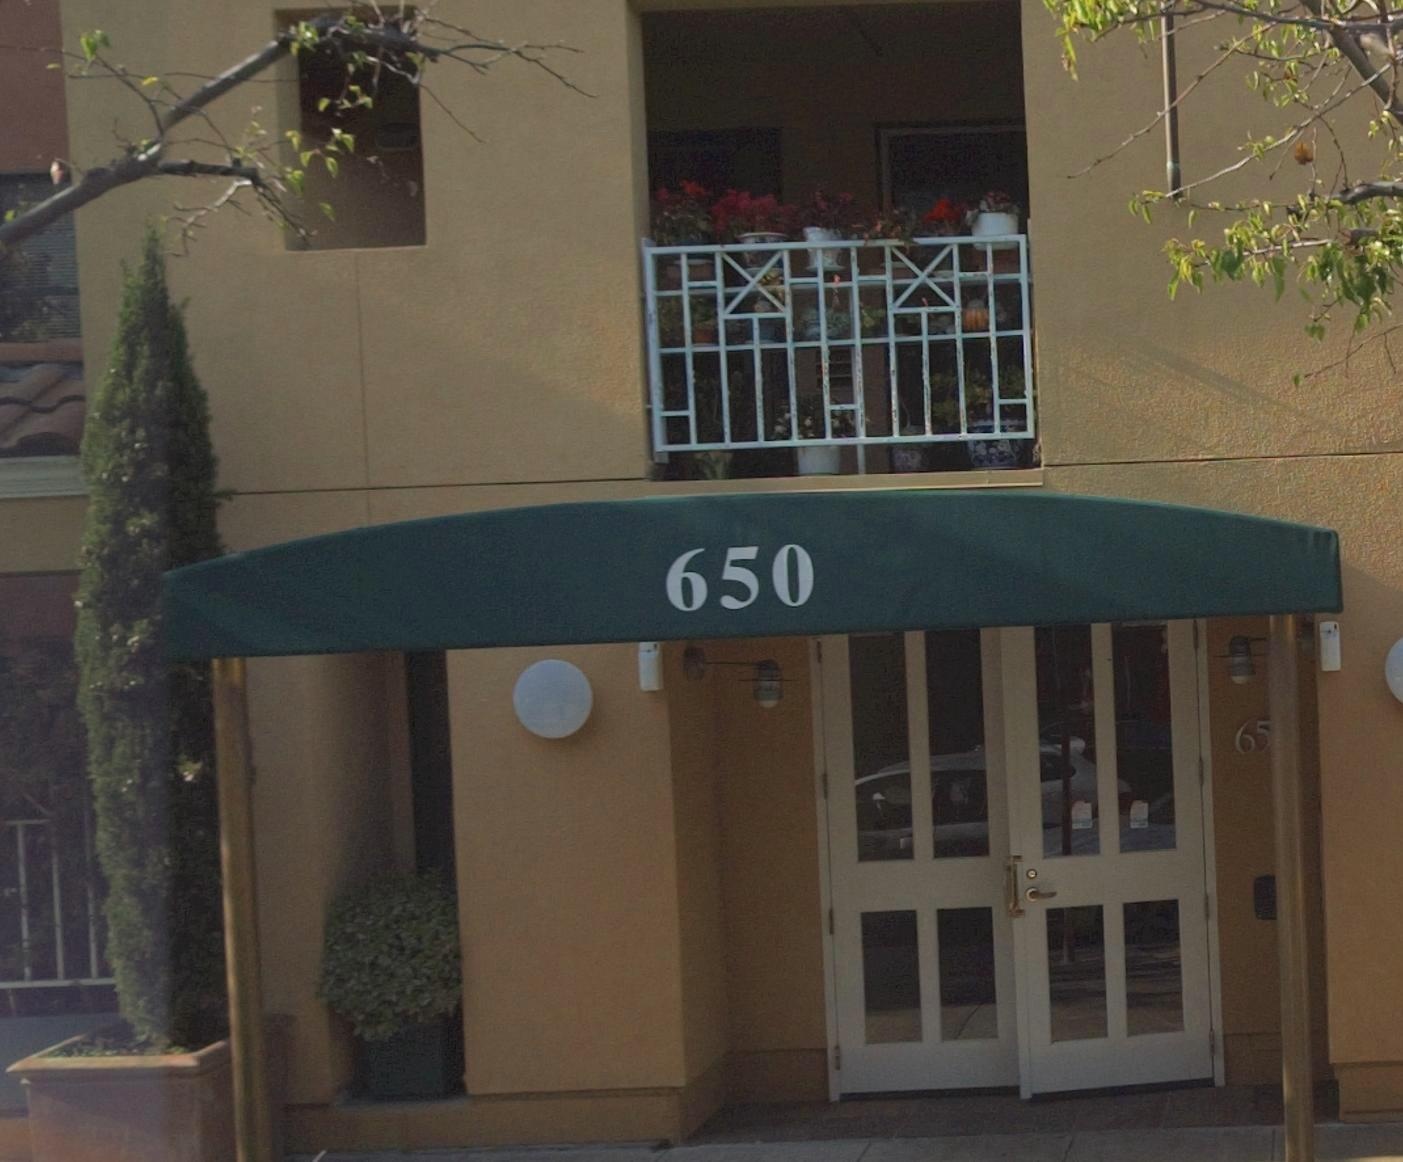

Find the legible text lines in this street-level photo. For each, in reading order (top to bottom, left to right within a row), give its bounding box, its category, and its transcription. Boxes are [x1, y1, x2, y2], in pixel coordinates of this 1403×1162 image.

[662, 539, 817, 616] StreetNumber: 650
[1232, 715, 1273, 758] StreetNumber: 65